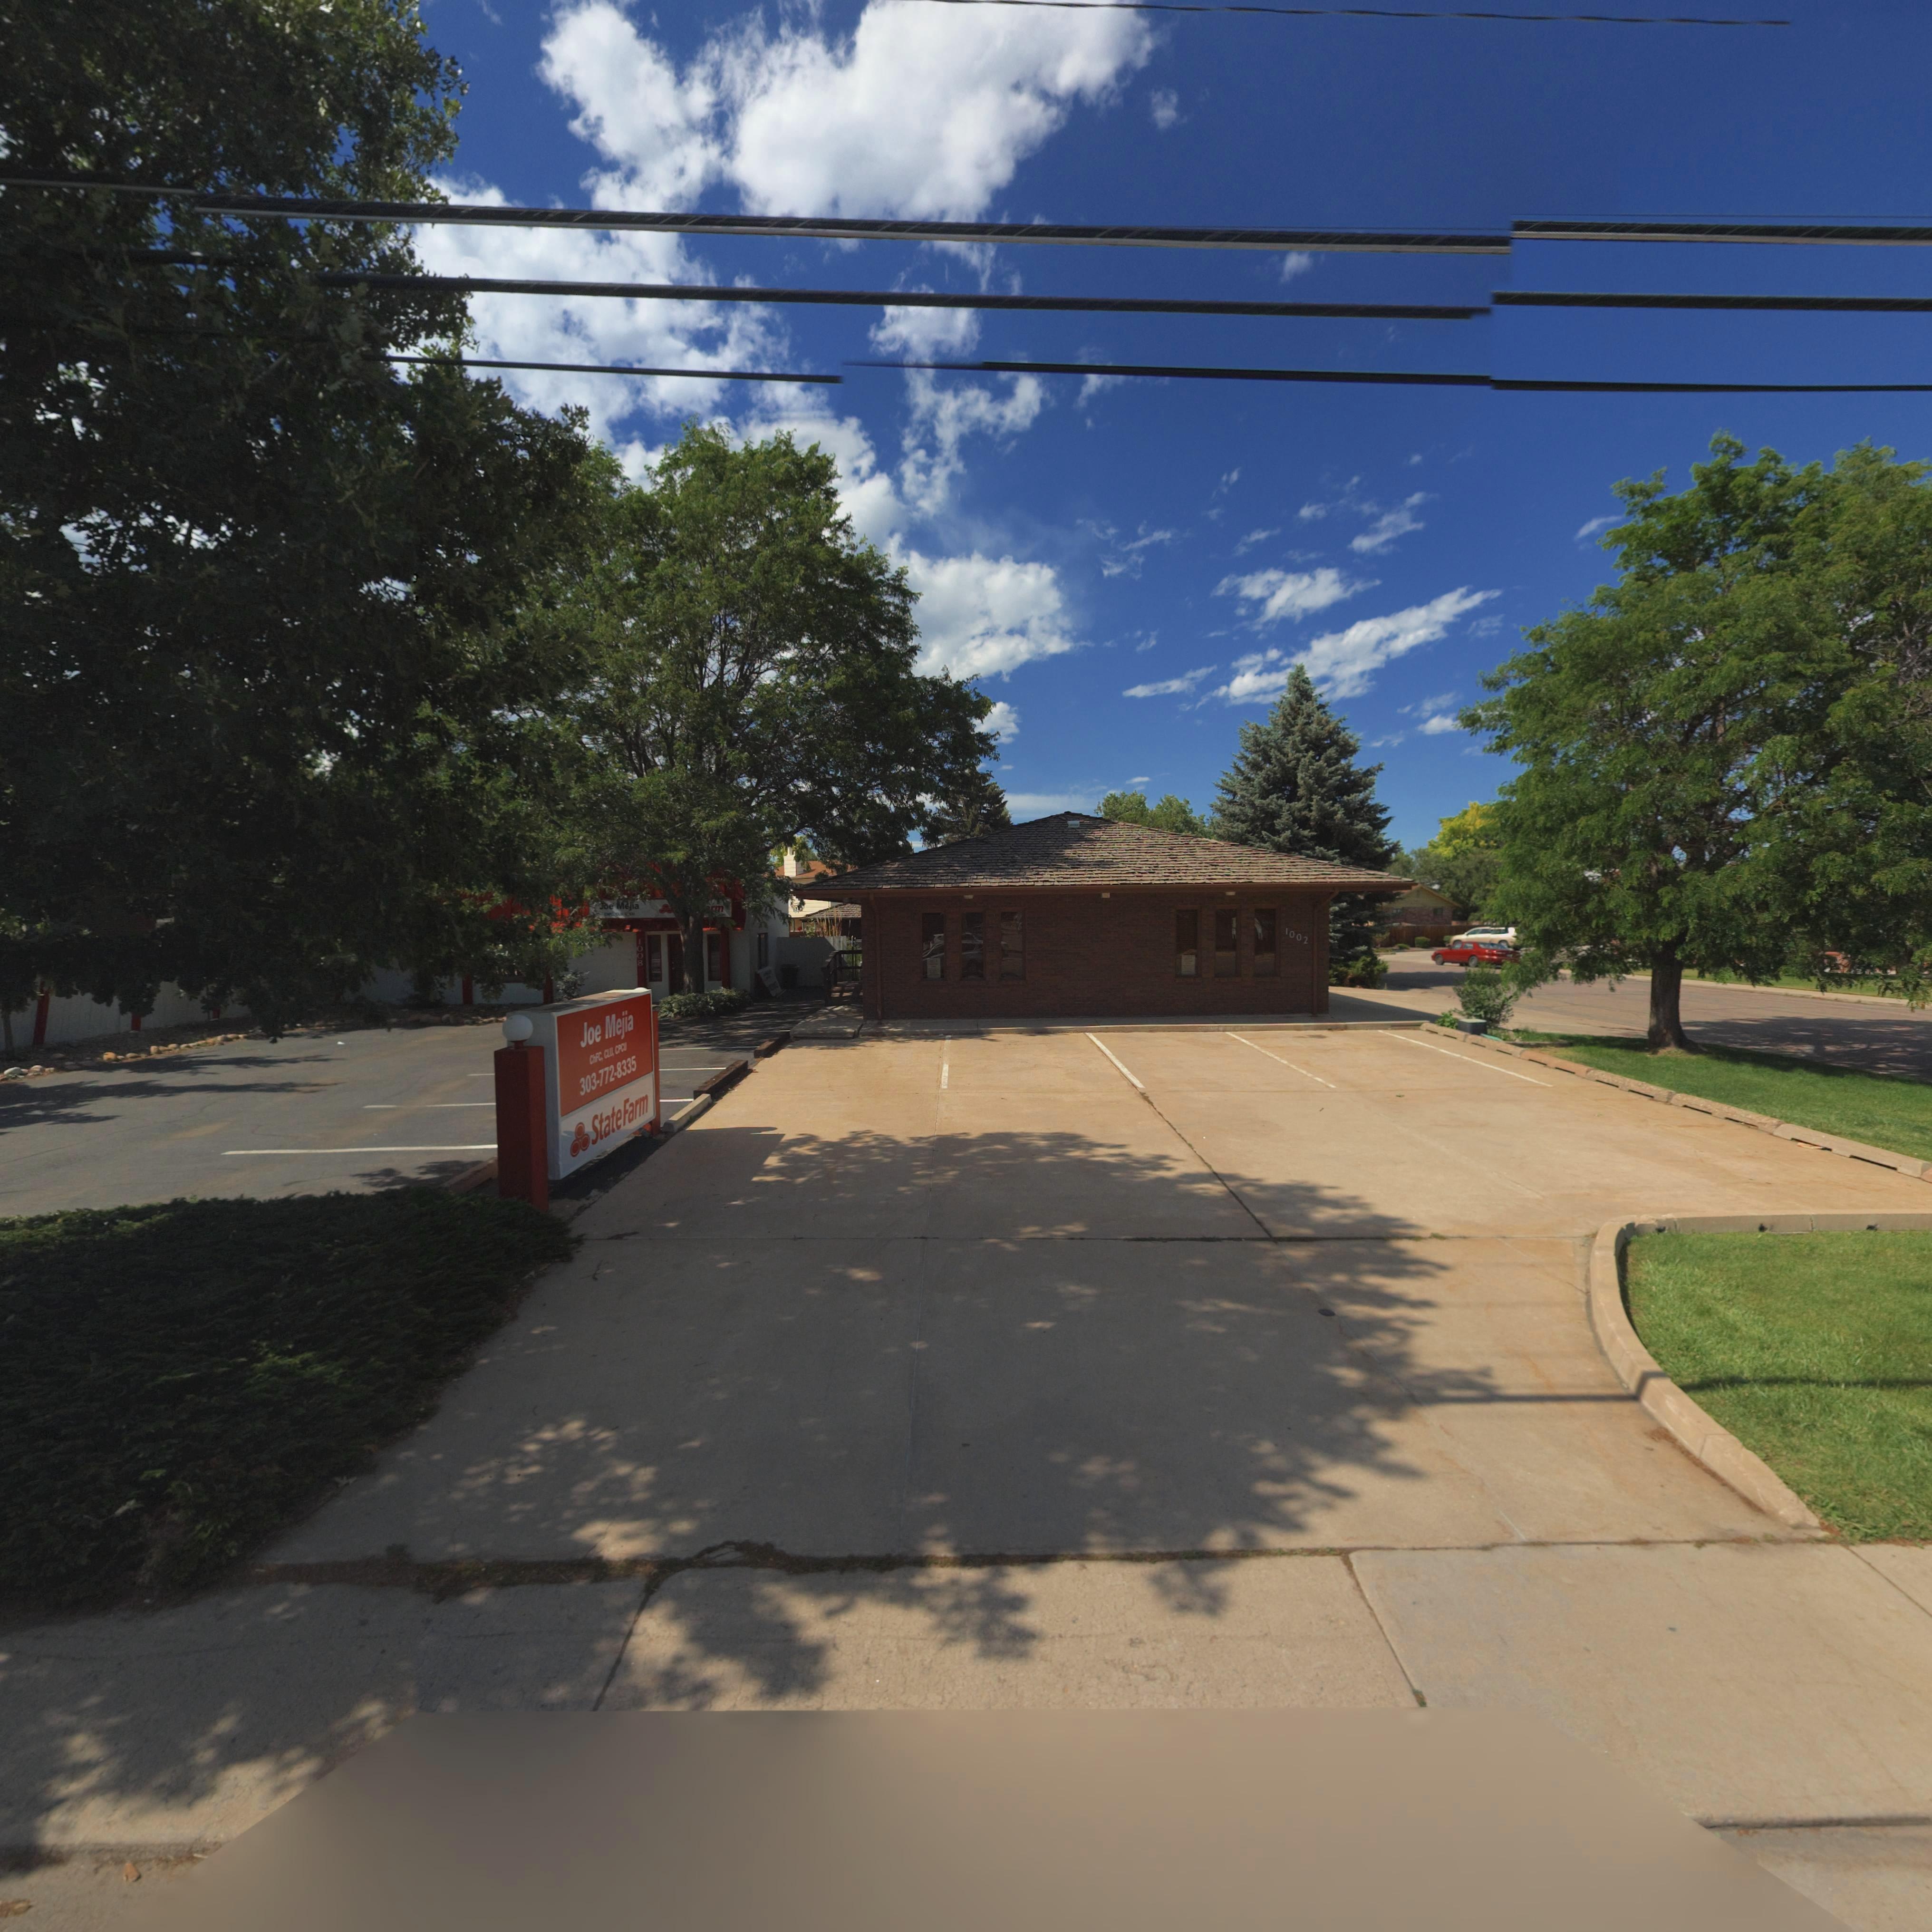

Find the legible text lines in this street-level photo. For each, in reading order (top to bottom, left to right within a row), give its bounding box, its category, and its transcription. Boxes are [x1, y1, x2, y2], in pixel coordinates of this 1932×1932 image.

[671, 901, 724, 913] BusinessName: ***** ***m
[1285, 927, 1309, 944] StreetNumber: 1002
[636, 938, 644, 967] StreetNumber: 1008
[589, 1092, 649, 1147] StreetName: State Farm